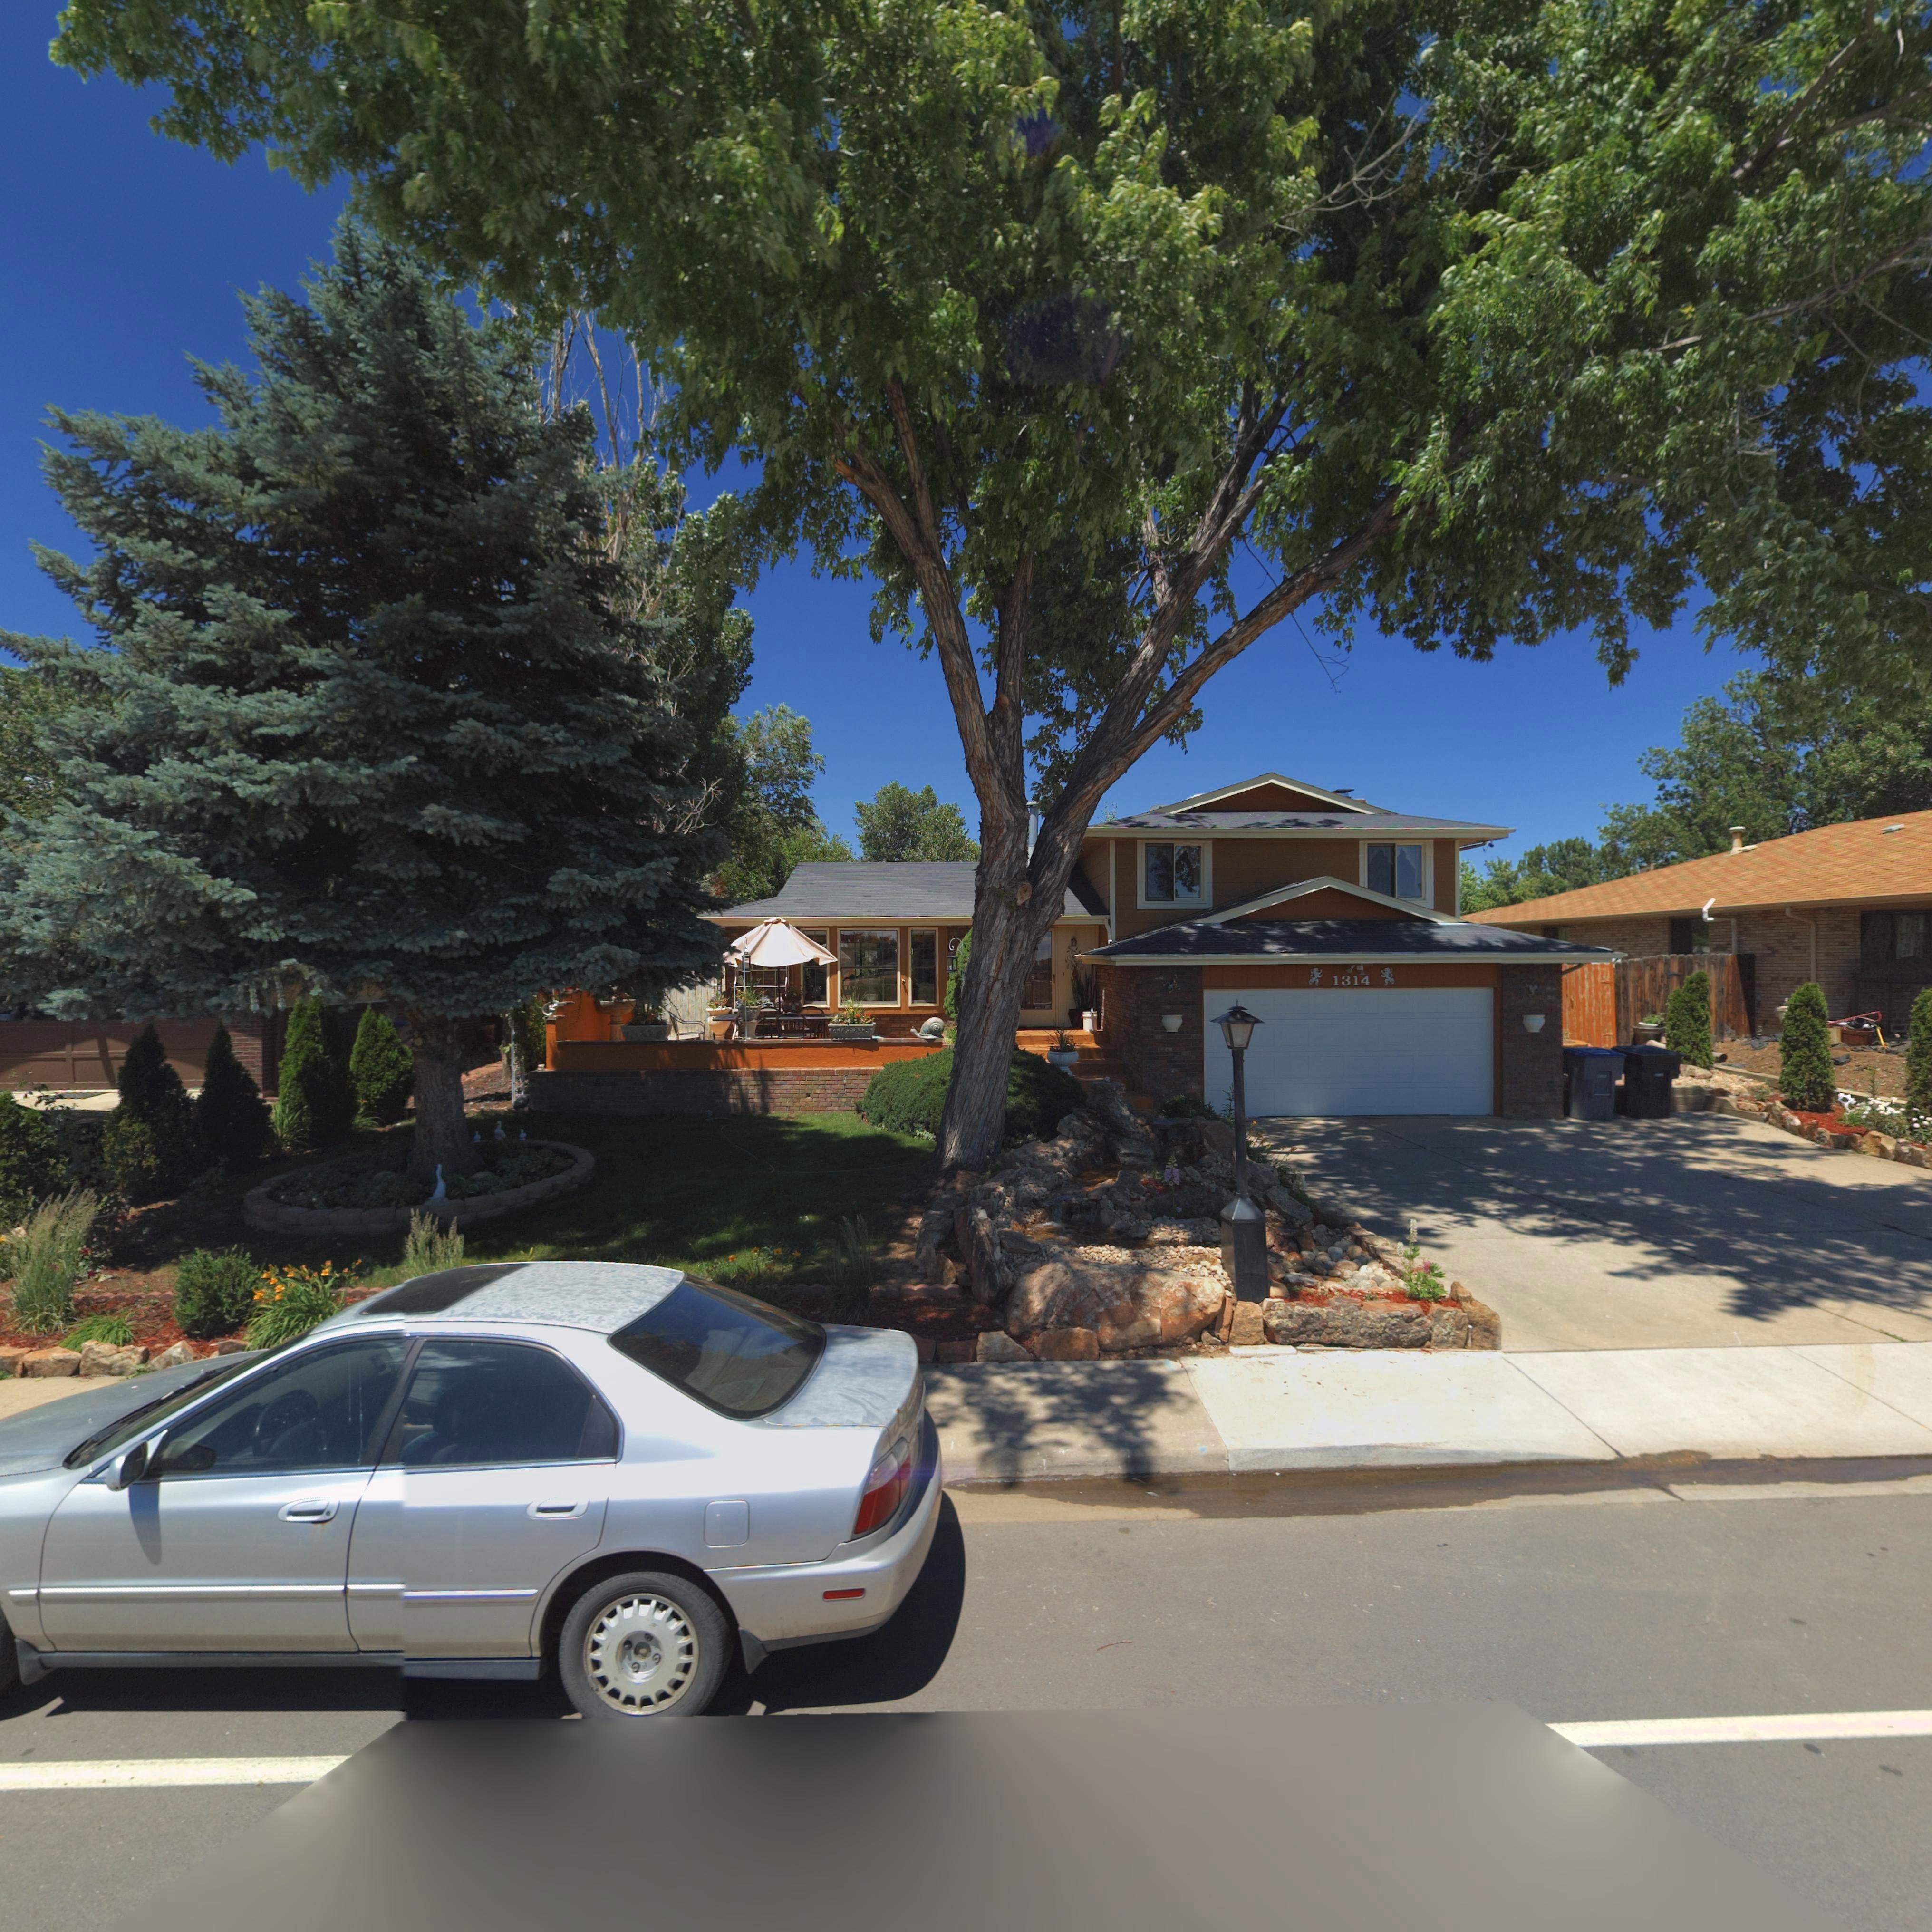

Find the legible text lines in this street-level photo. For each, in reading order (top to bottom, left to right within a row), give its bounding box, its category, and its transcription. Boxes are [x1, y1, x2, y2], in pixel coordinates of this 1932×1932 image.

[1333, 975, 1370, 986] StreetNumber: 1314